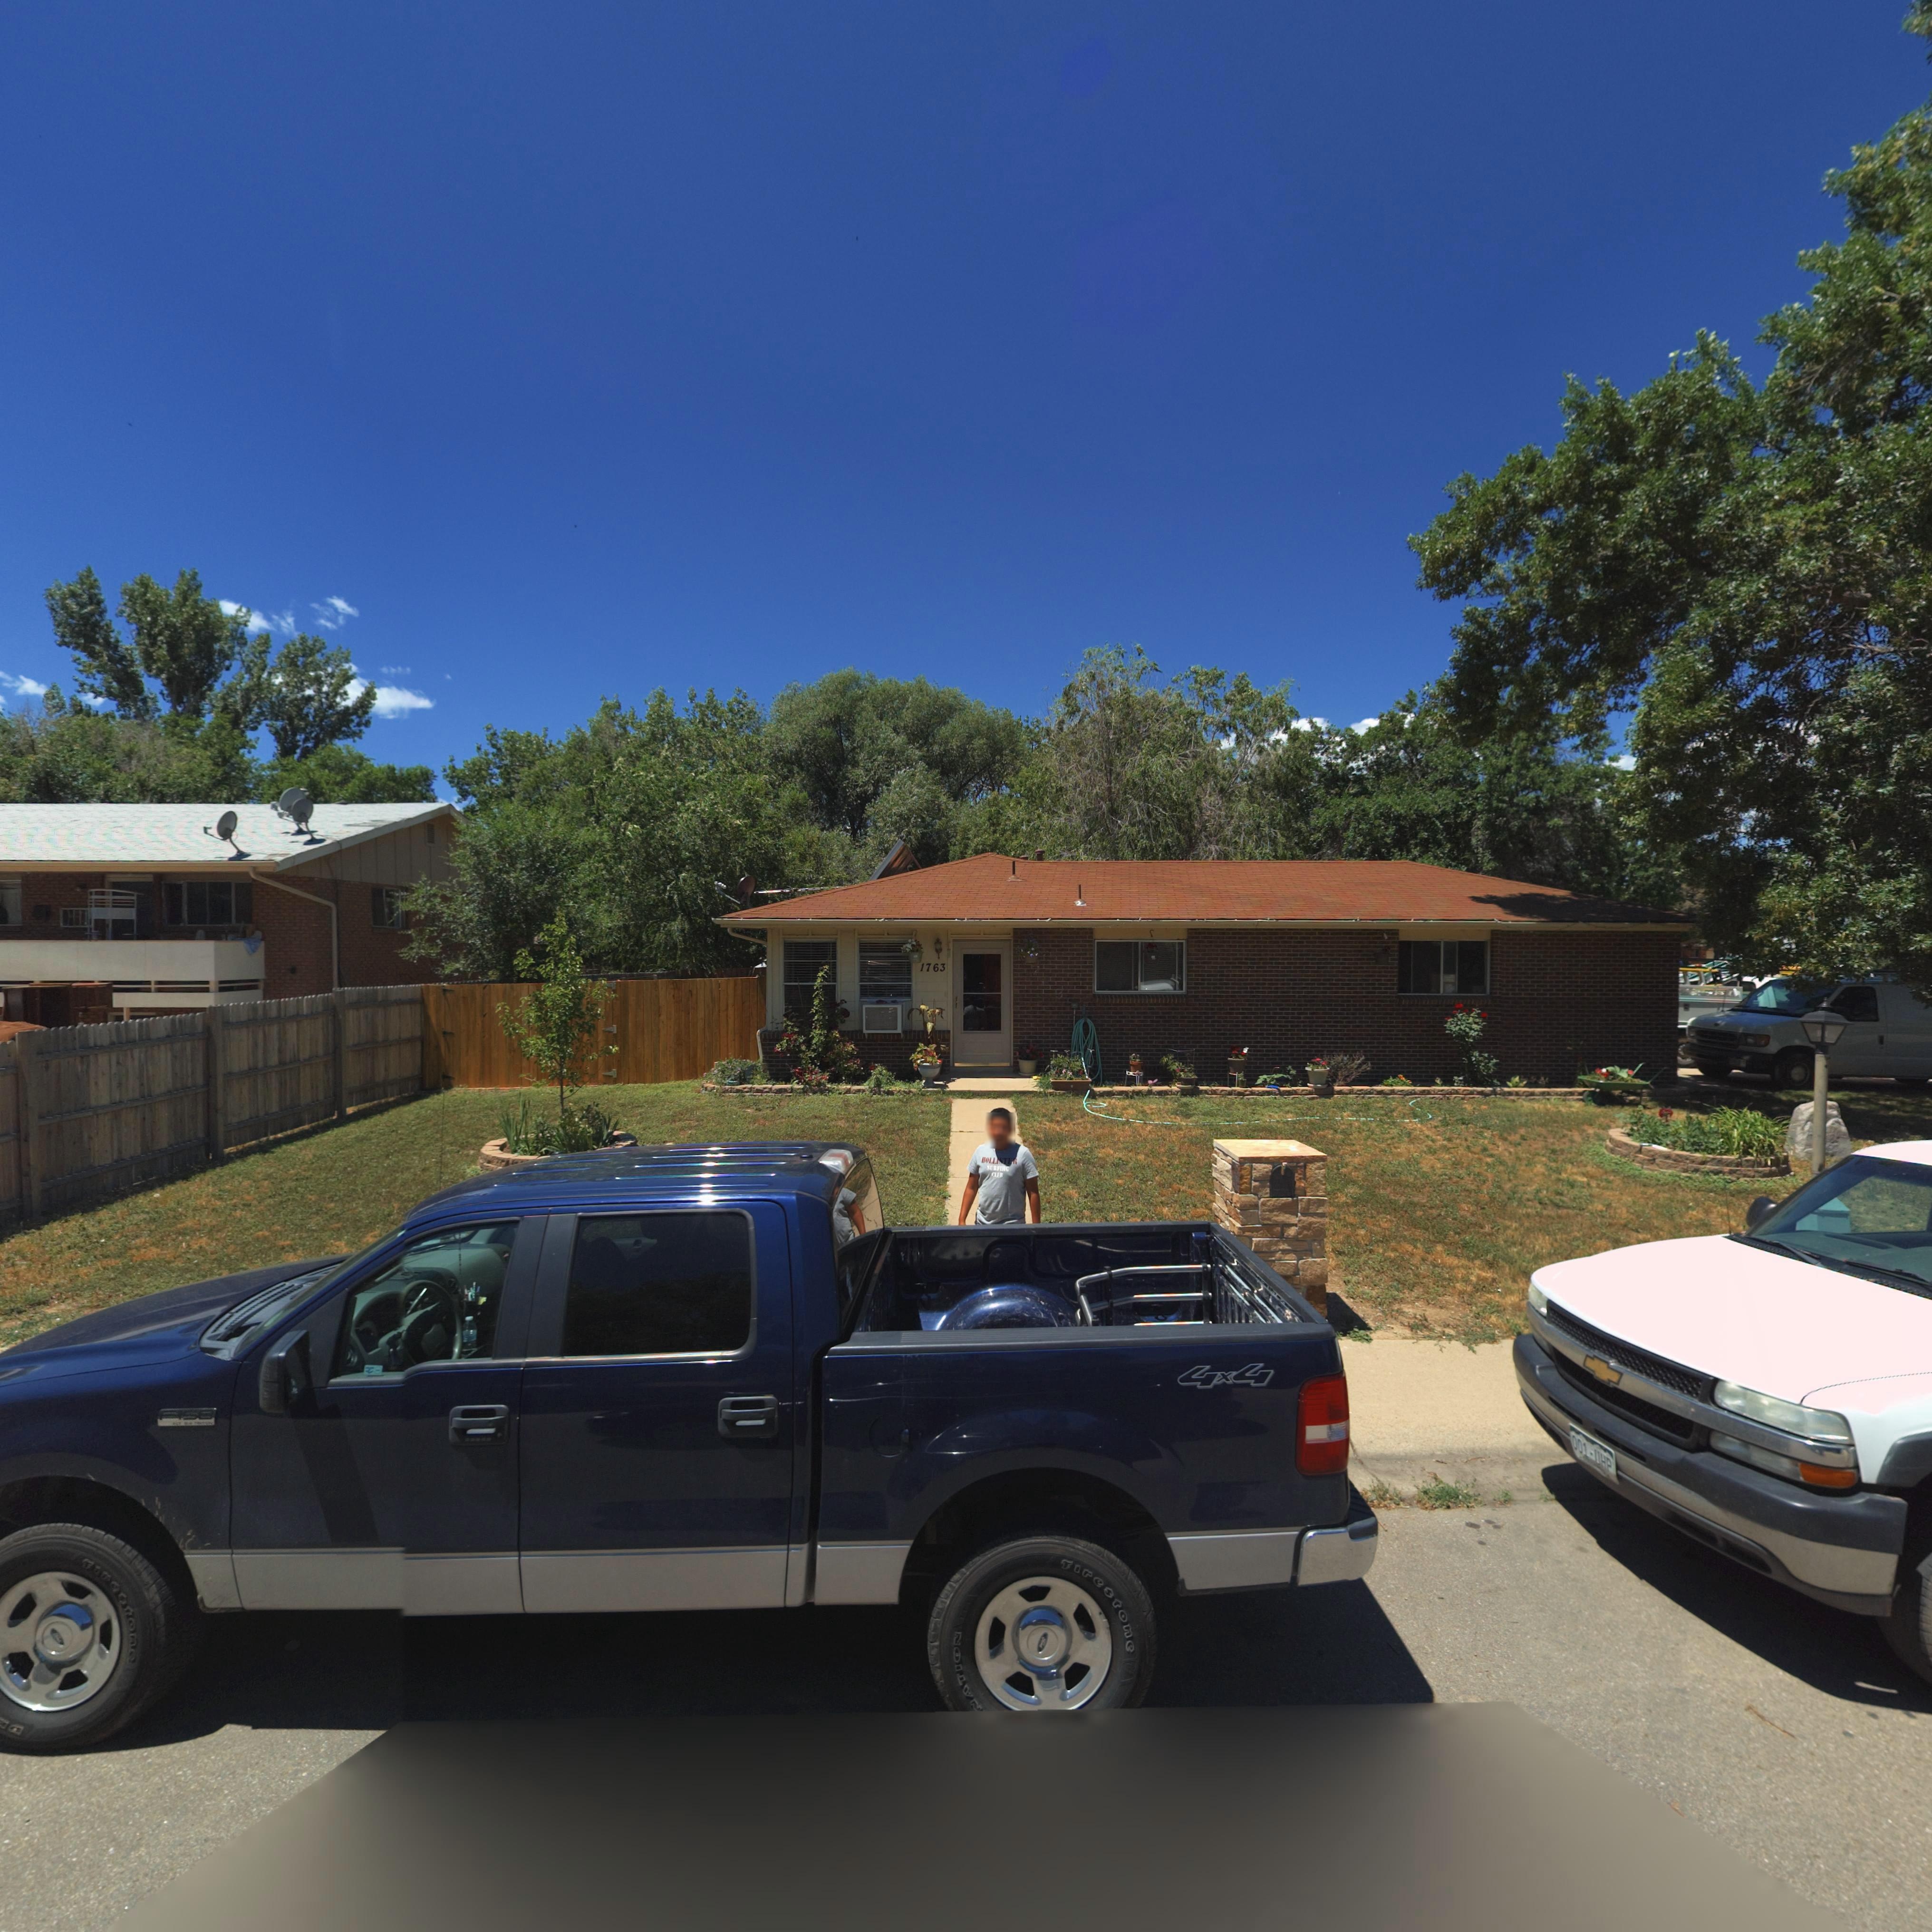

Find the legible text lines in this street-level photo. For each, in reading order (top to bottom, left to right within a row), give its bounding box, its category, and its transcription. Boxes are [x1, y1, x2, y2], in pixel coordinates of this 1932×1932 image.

[920, 963, 946, 972] StreetNumber: 1763